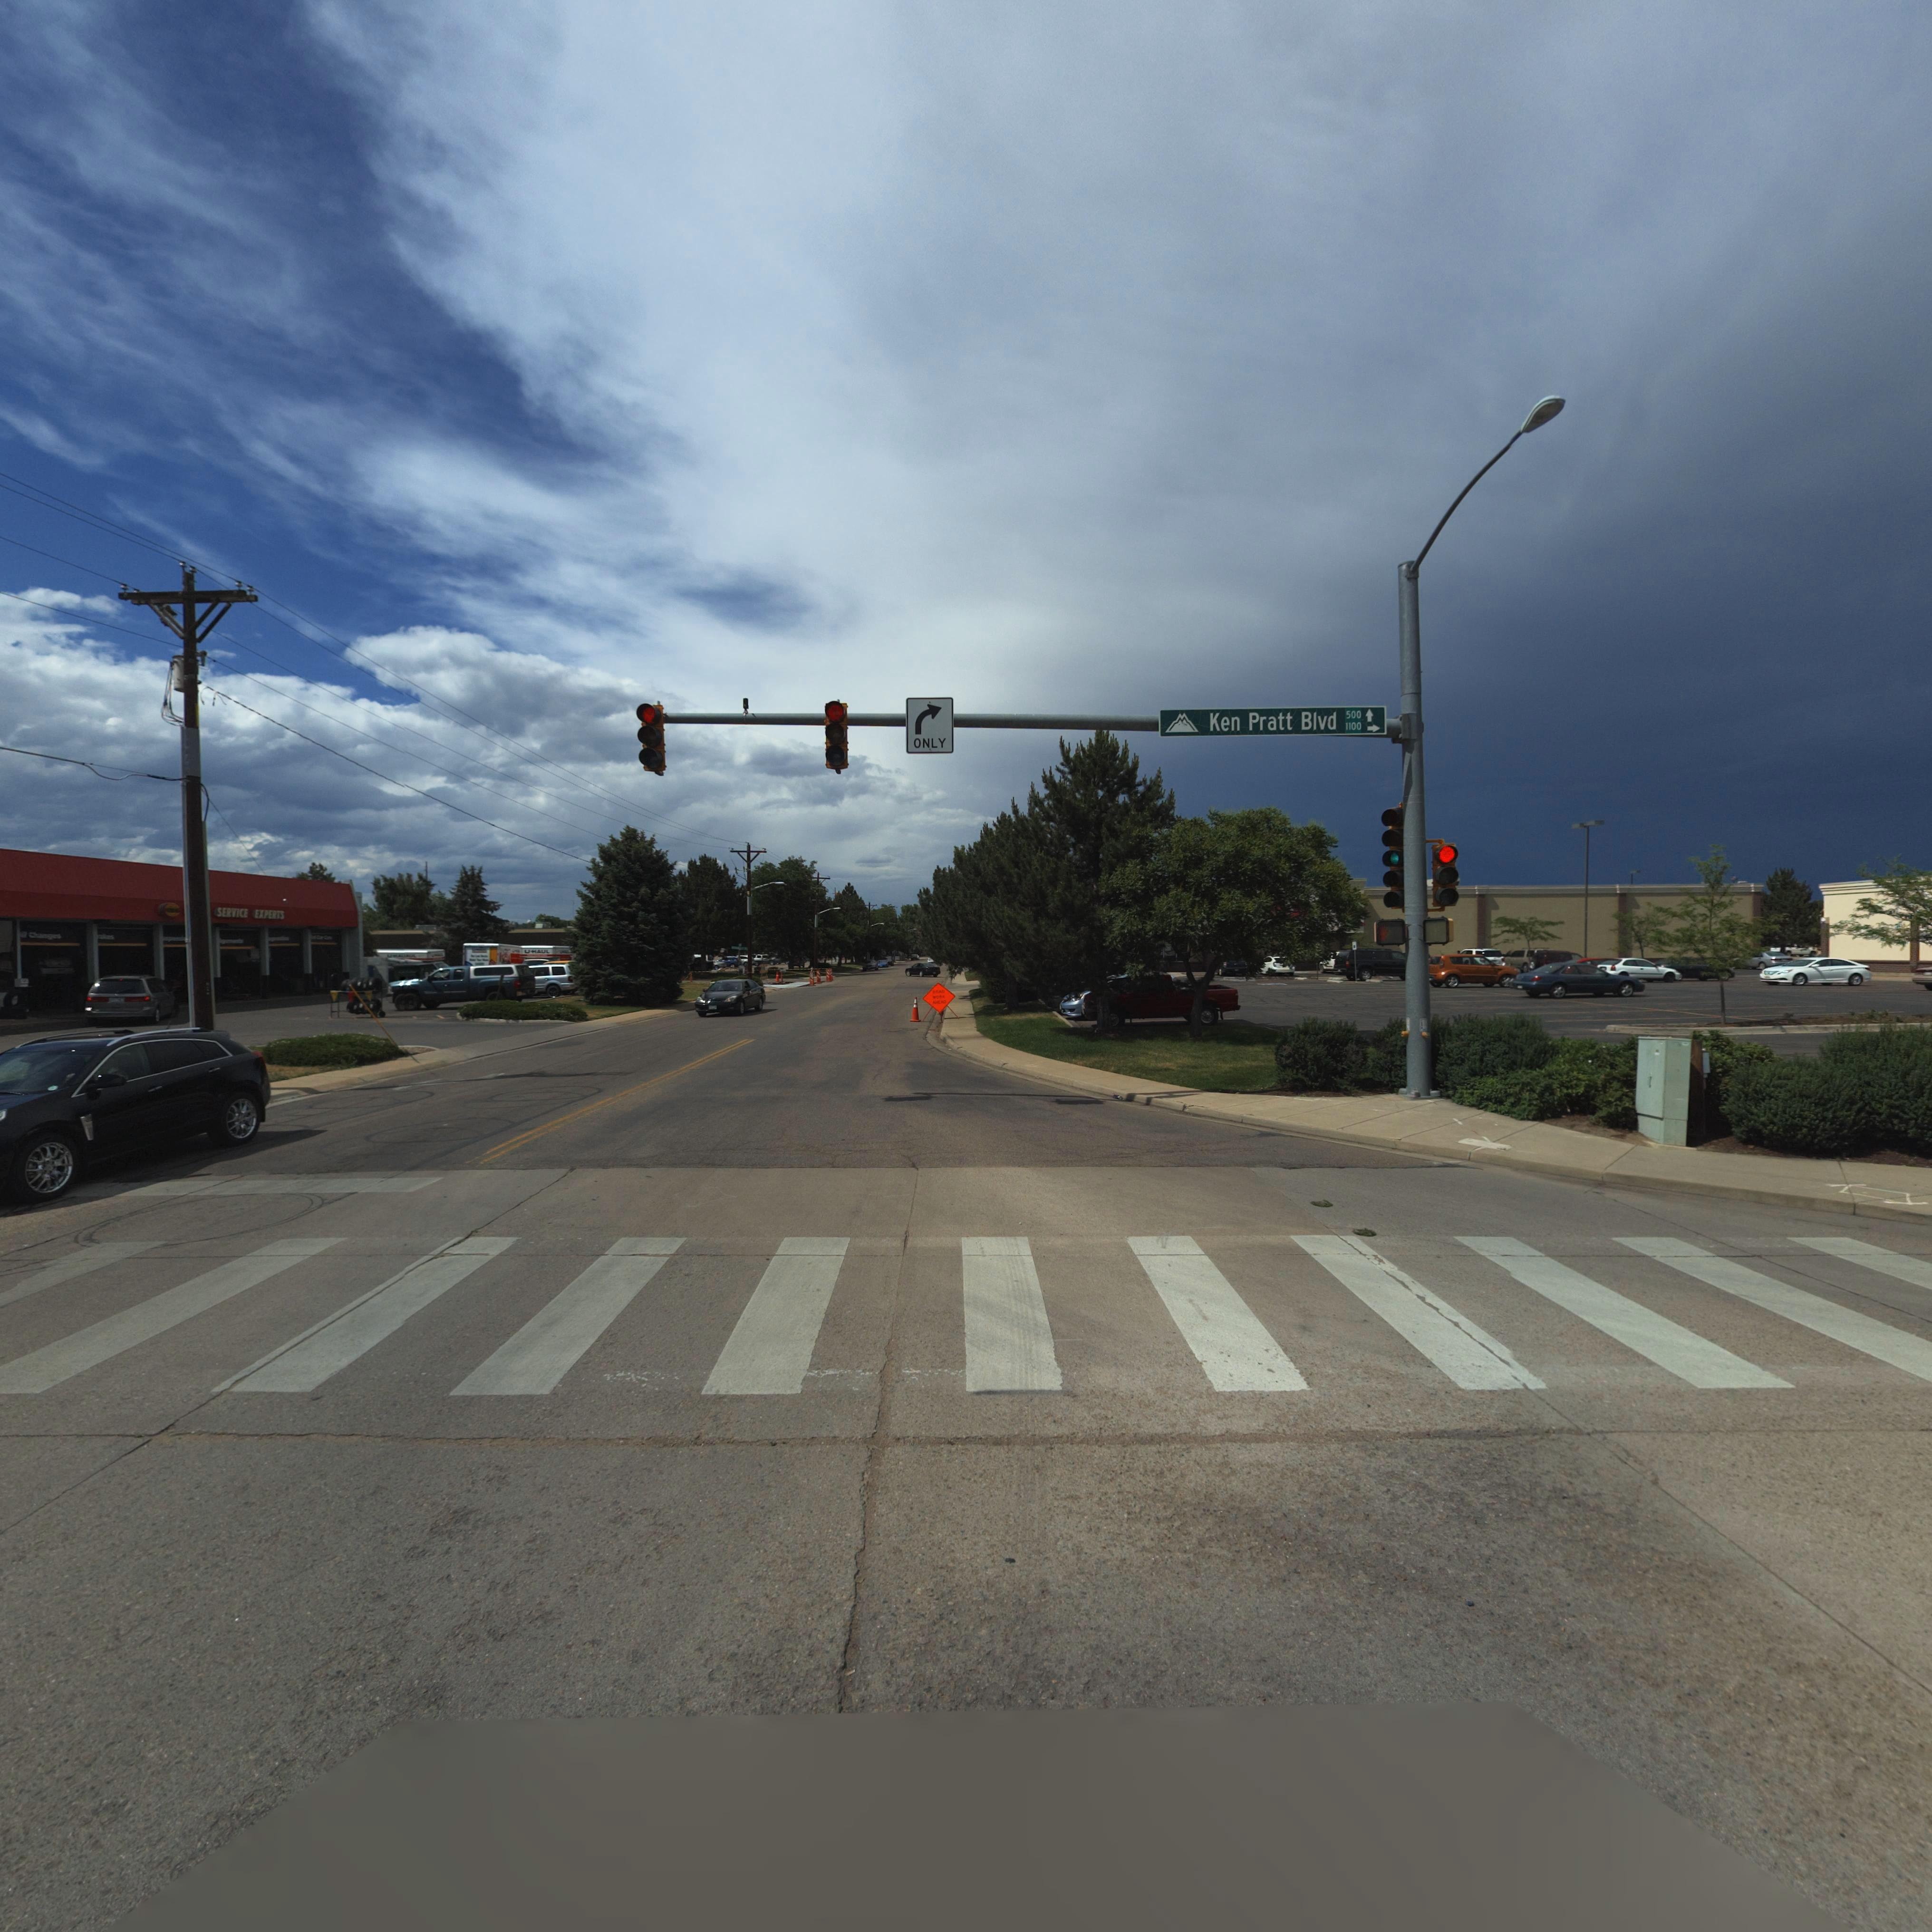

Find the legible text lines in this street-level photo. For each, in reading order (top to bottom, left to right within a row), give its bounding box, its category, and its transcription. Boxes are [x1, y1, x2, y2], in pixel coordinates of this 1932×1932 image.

[1345, 710, 1361, 719] StreetNumberRange: 500
[1209, 711, 1337, 732] StreetName: Ken Pratt Blvd
[1345, 721, 1381, 733] StreetNumberRange: 1100 ->